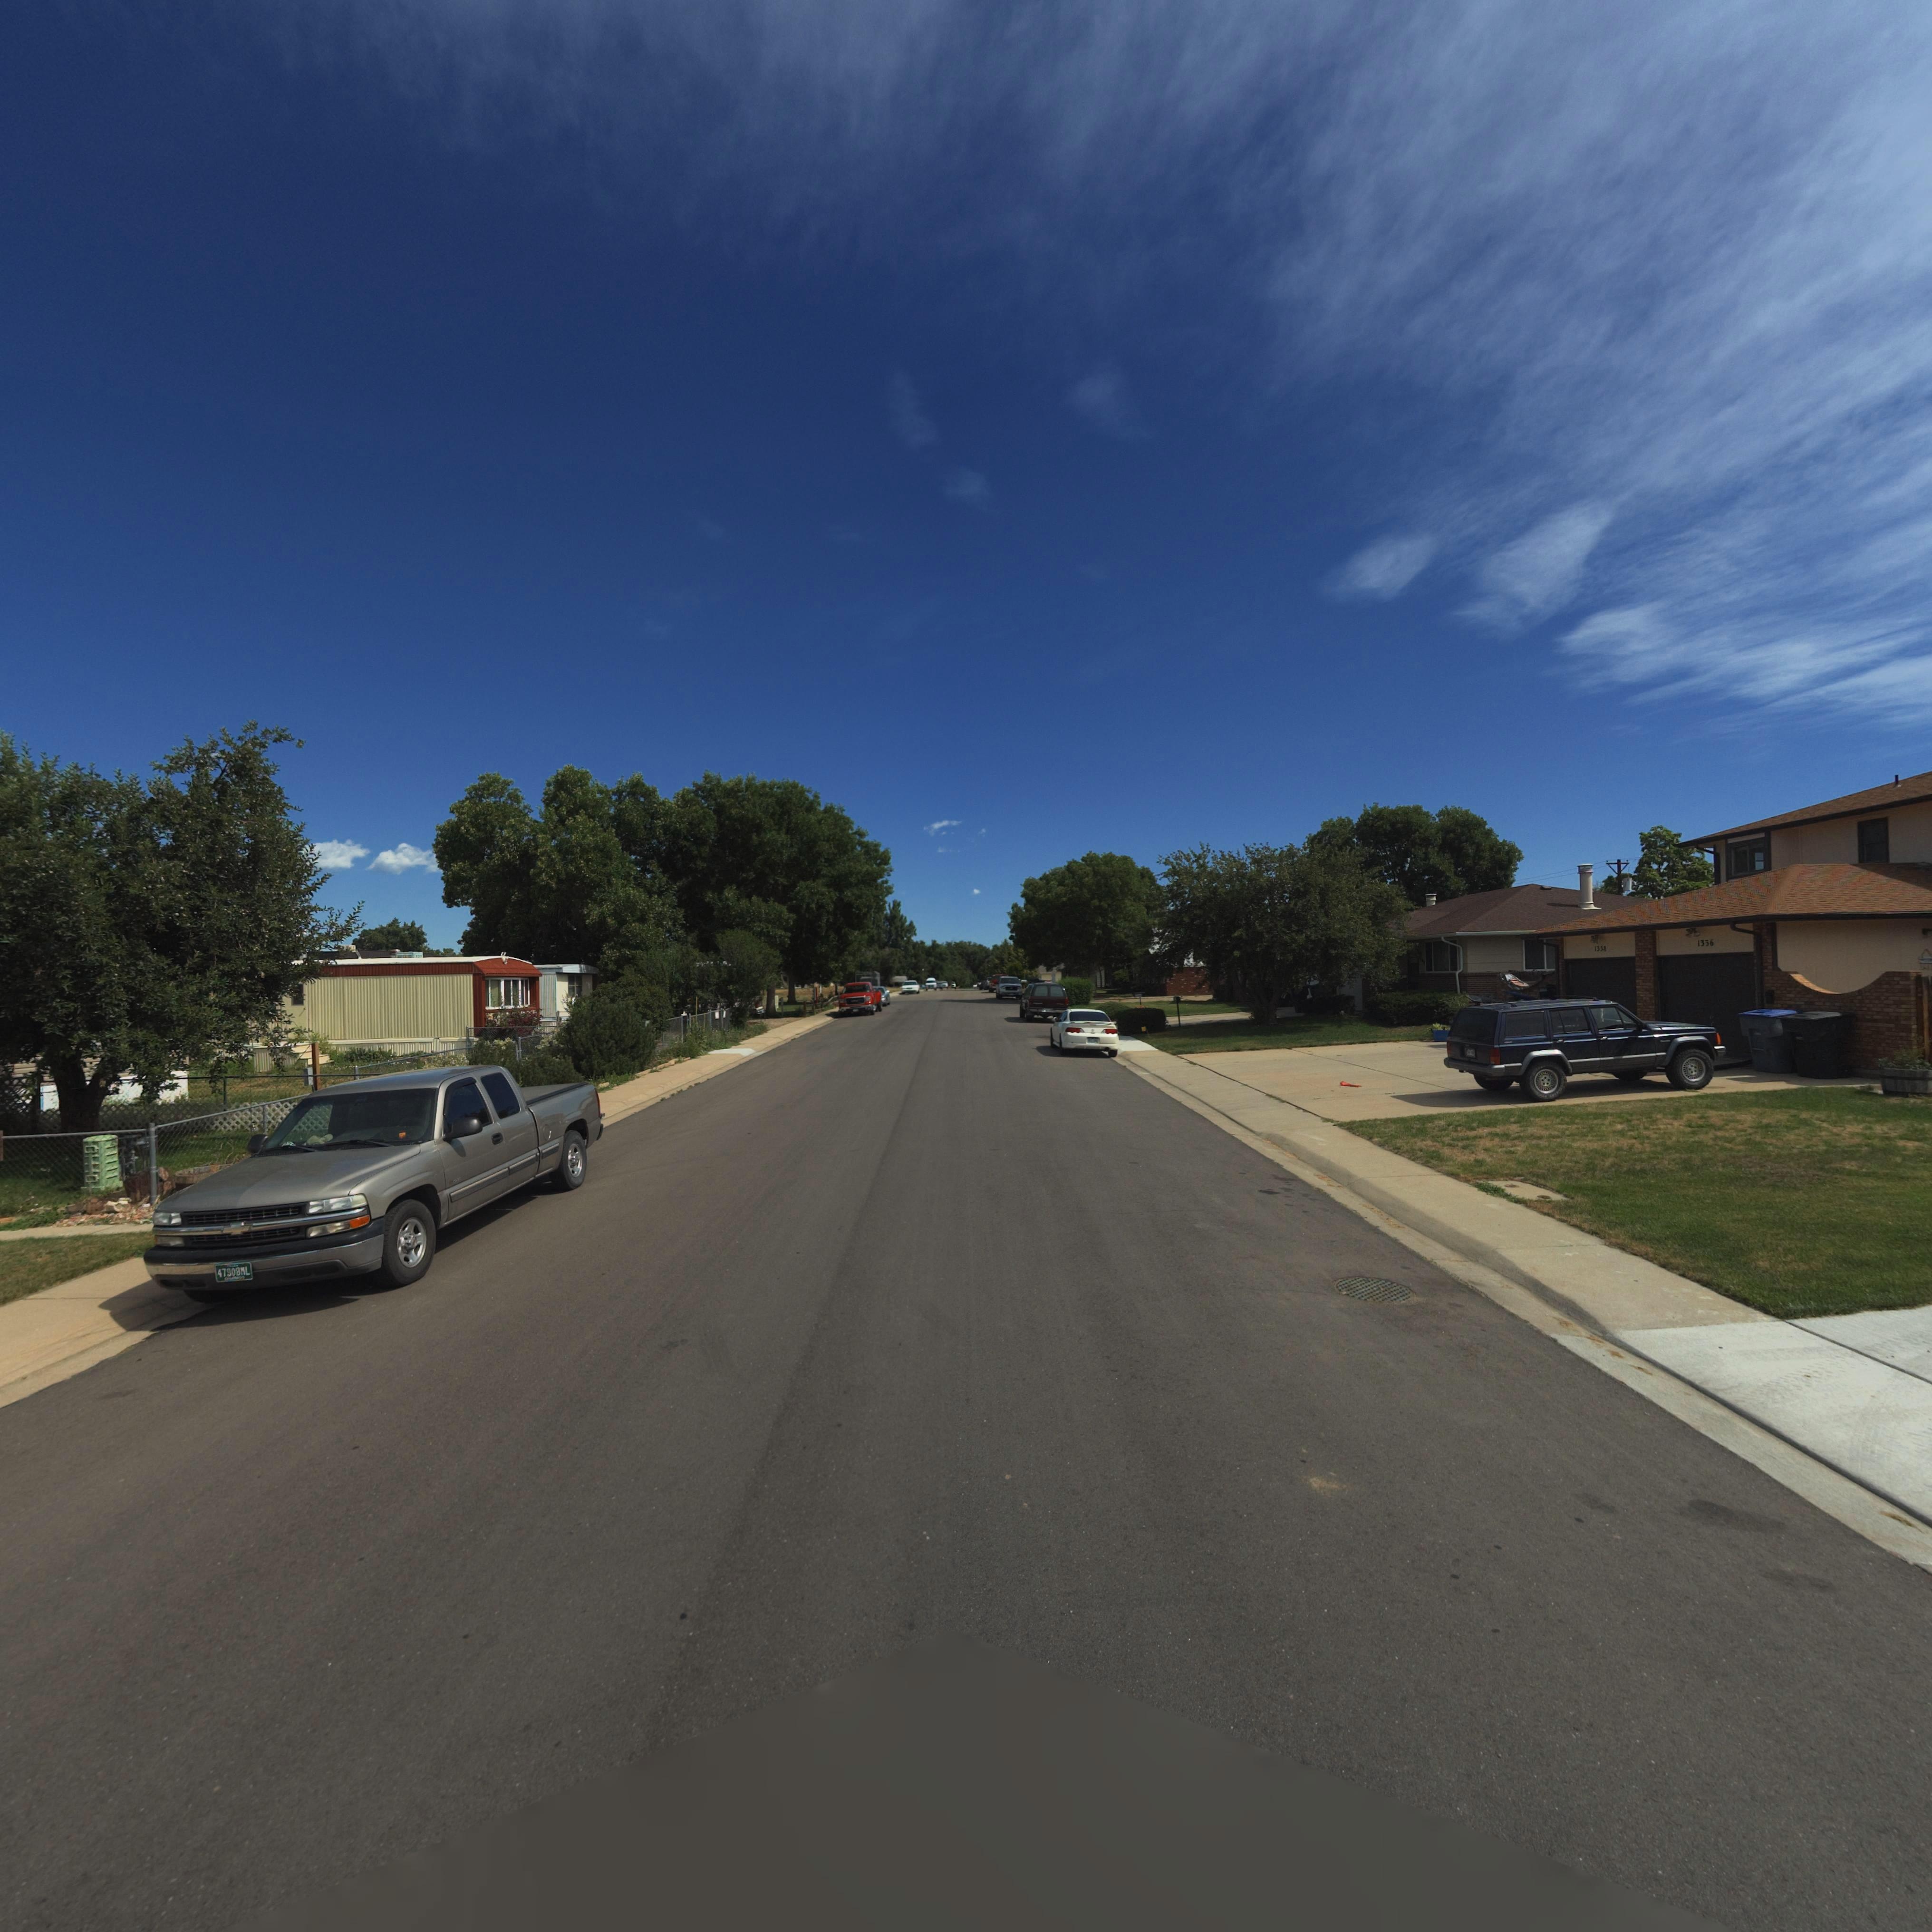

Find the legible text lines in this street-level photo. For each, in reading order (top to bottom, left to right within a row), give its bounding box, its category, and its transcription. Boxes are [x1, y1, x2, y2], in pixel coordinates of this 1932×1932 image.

[1697, 938, 1714, 947] StreetNumber: 1336
[1594, 945, 1607, 952] StreetNumber: 1338